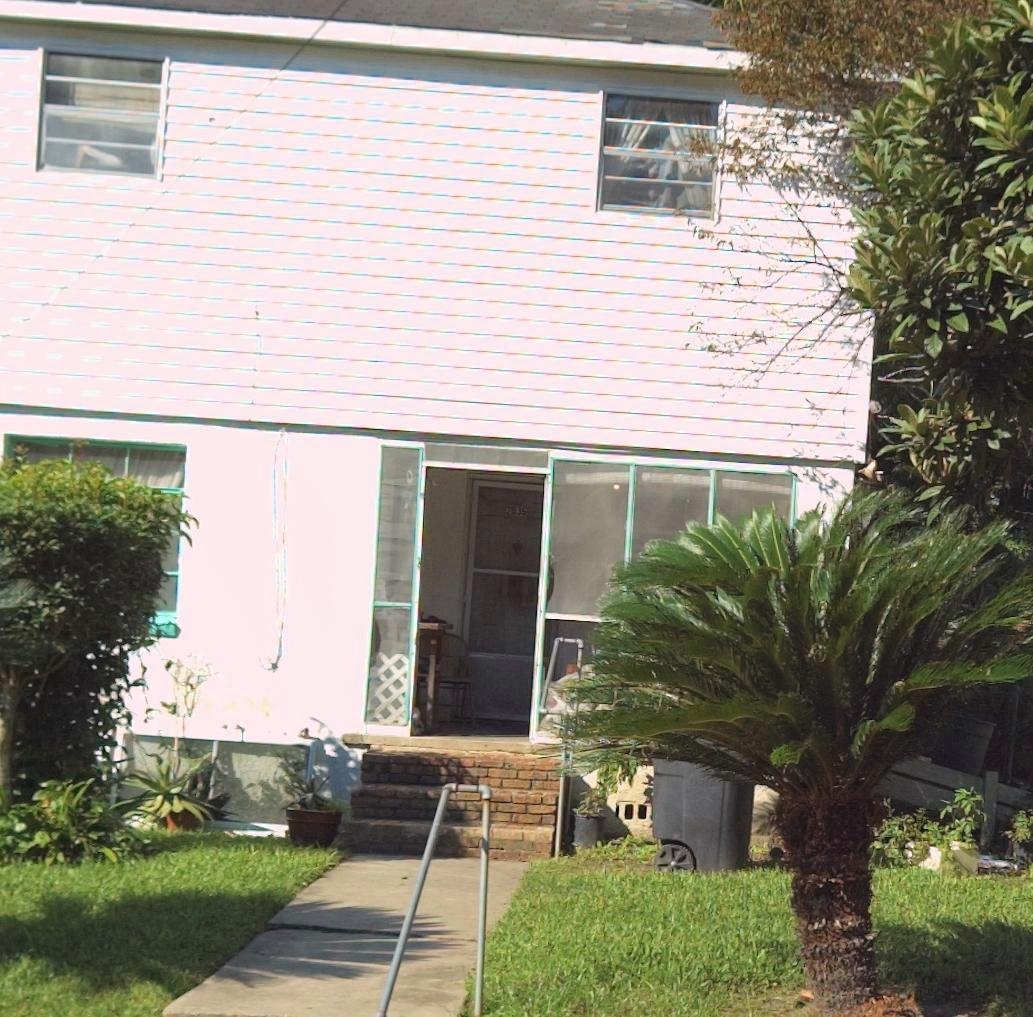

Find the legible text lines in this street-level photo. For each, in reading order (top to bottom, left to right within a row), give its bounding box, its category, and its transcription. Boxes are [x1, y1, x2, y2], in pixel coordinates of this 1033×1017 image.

[505, 505, 528, 516] StreetNumber: 2035